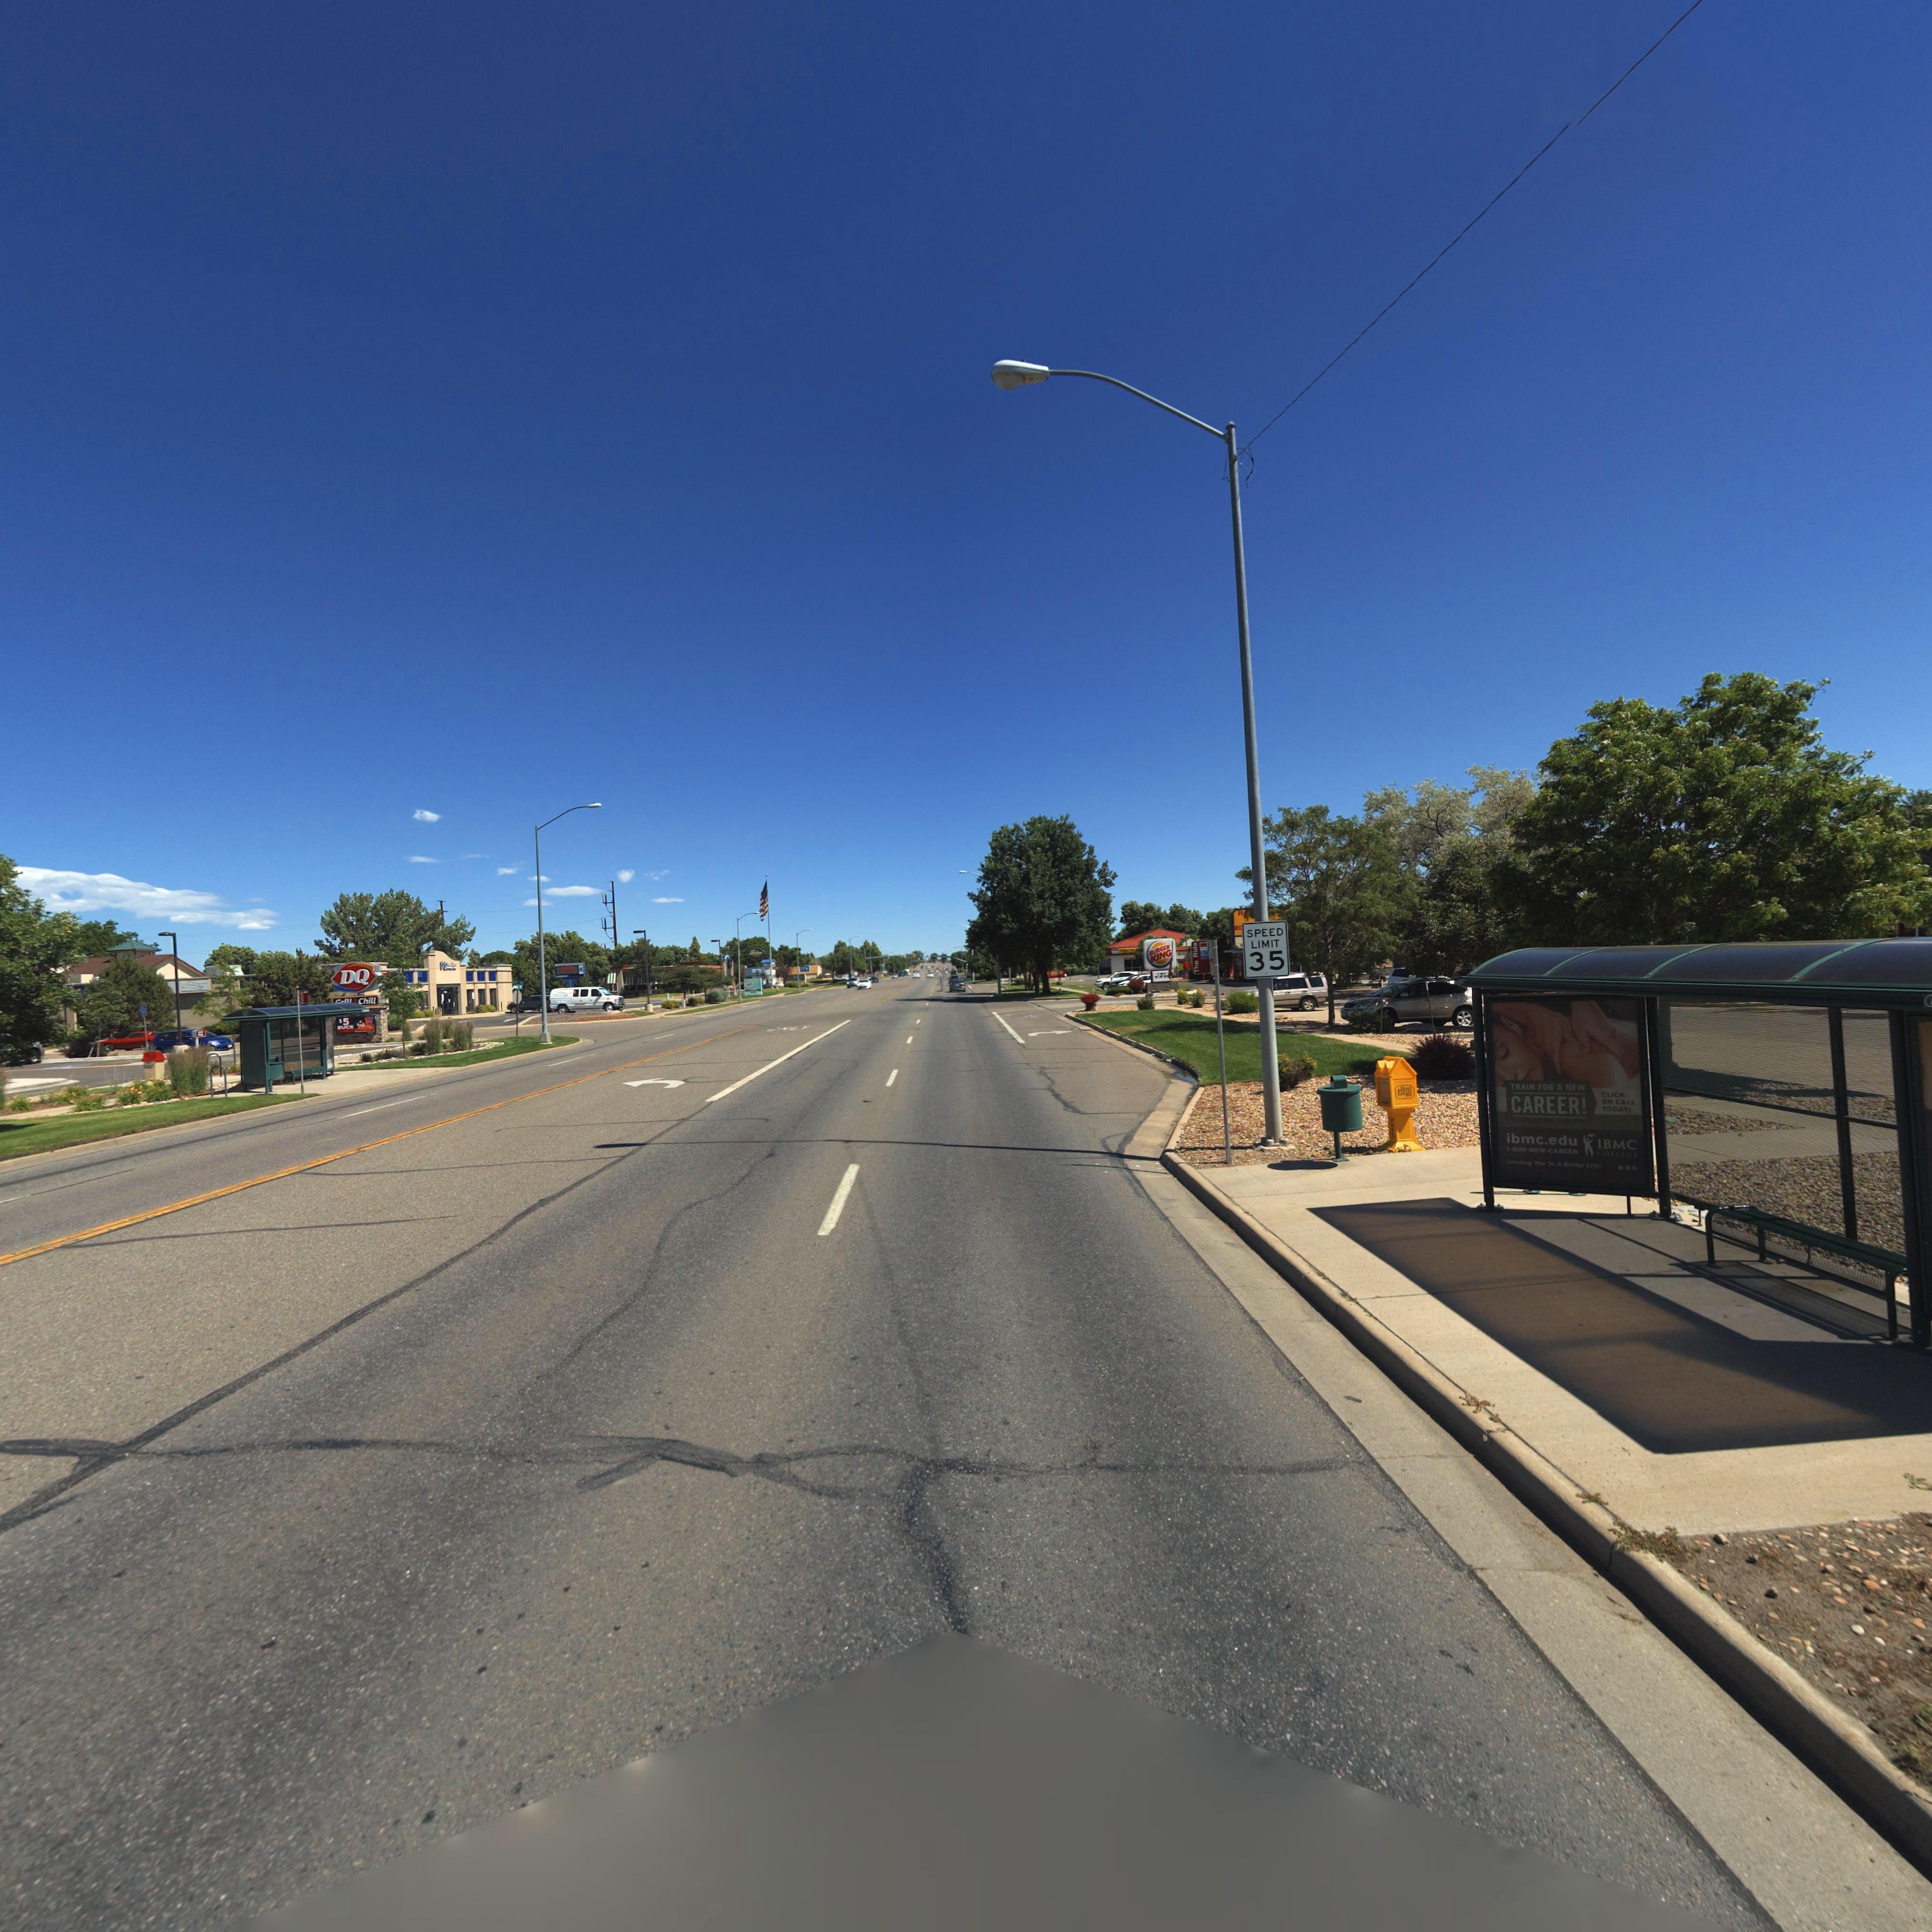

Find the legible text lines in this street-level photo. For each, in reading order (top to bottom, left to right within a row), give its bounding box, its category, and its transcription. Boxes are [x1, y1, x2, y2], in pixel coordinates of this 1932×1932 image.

[1237, 910, 1243, 916] BusinessName: K
[748, 949, 763, 955] BusinessName: P******
[1148, 944, 1170, 956] BusinessName: BURGER
[1150, 949, 1172, 964] BusinessName: KING
[339, 968, 370, 985] BusinessName: DQ
[334, 996, 376, 1006] BusinessName: ***** * Chill